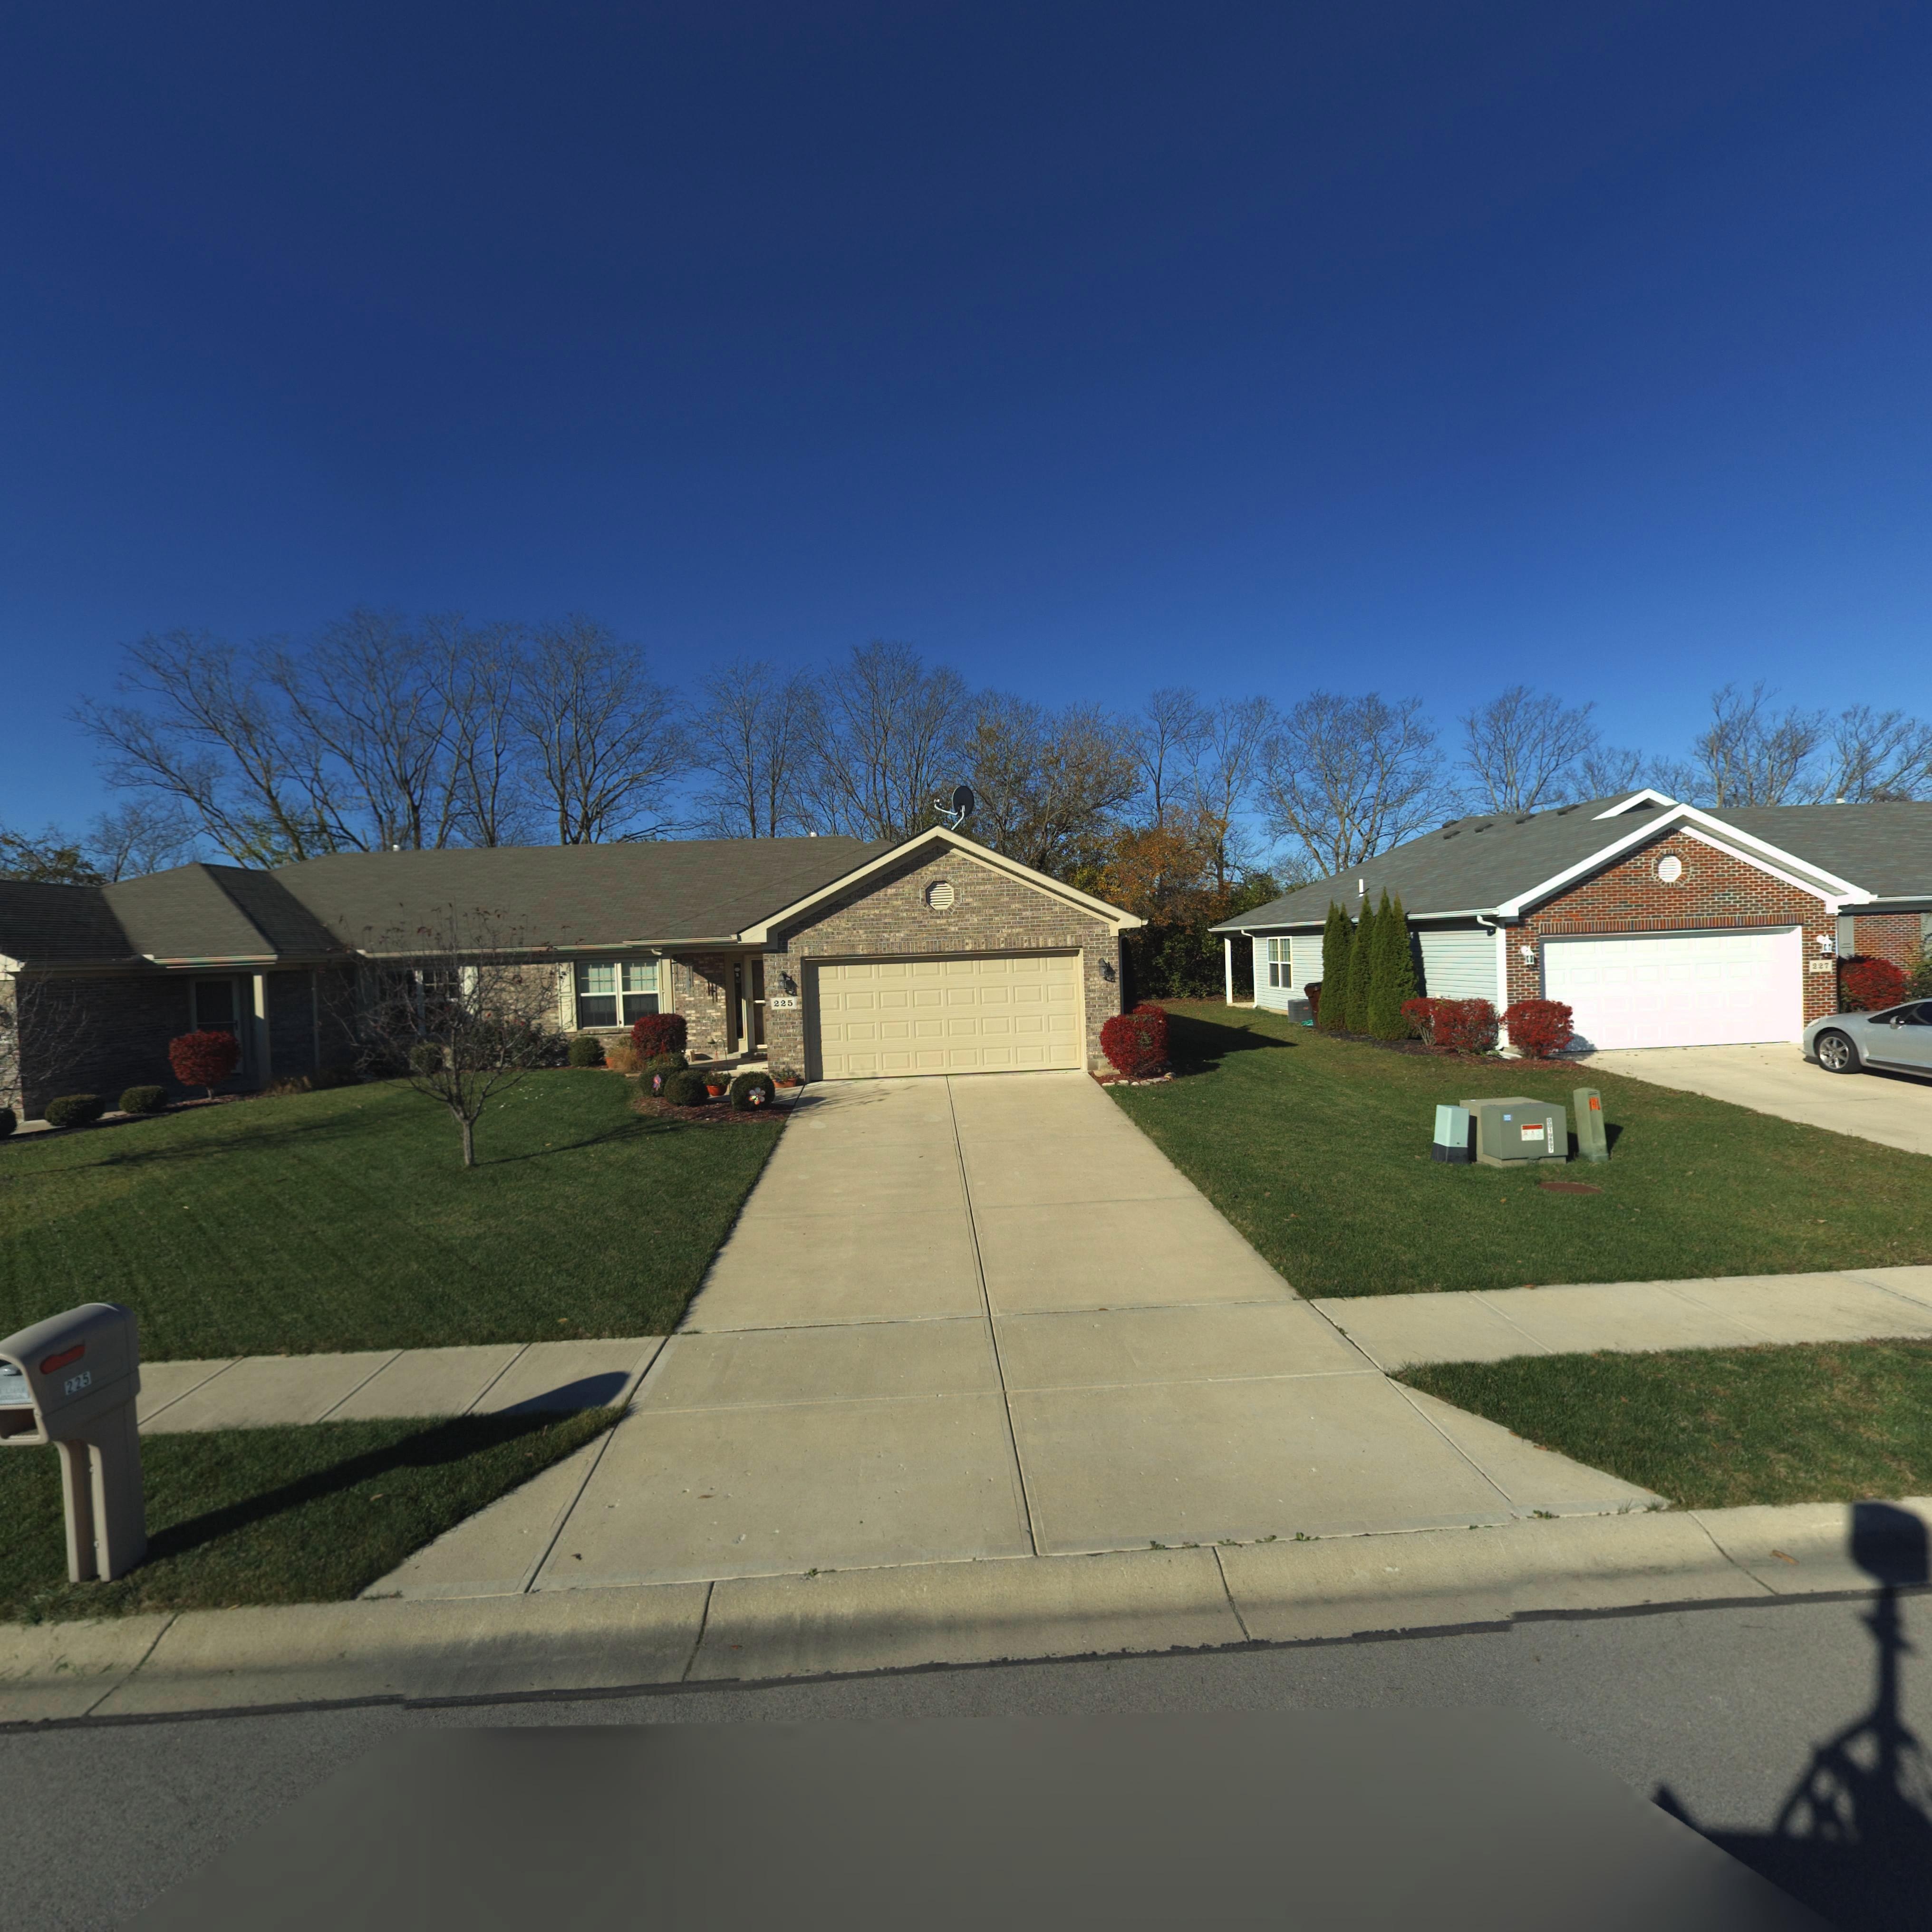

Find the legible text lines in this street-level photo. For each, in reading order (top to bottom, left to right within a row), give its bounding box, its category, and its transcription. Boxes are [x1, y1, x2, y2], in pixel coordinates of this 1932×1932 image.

[1811, 961, 1830, 970] StreetNumber: 227
[773, 999, 793, 1007] StreetNumber: 225
[66, 1371, 90, 1394] StreetNumber: 225